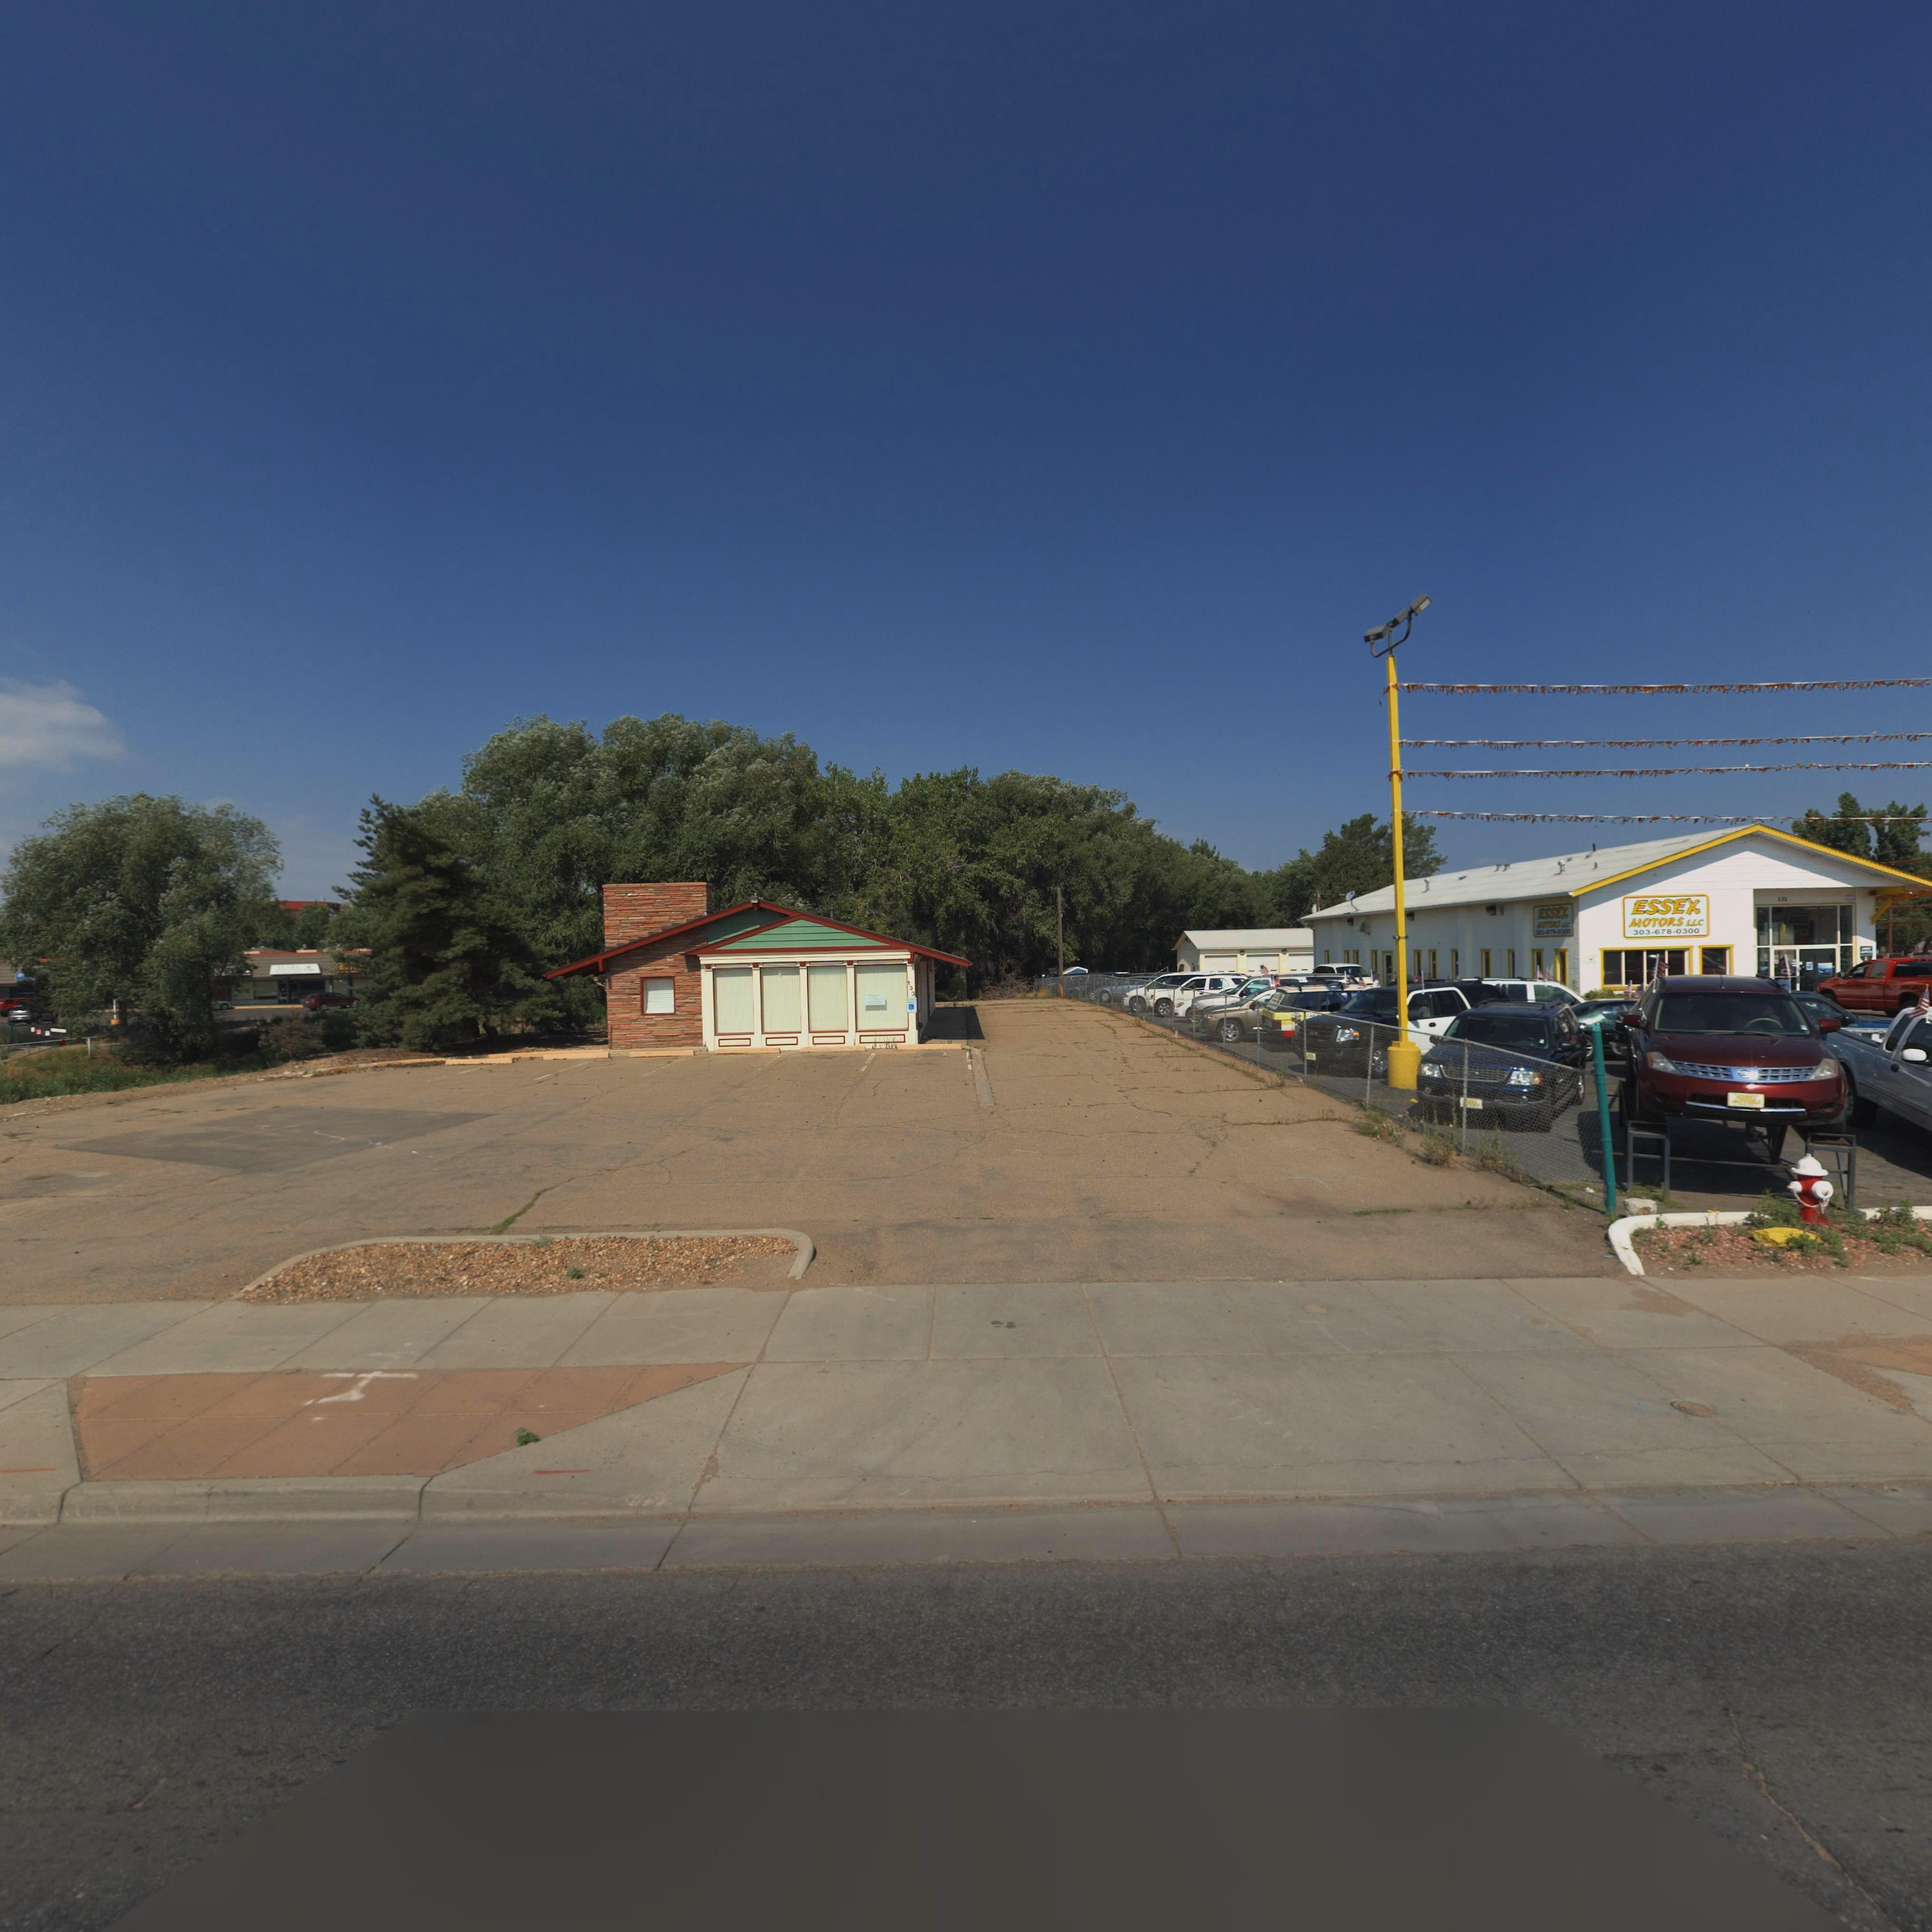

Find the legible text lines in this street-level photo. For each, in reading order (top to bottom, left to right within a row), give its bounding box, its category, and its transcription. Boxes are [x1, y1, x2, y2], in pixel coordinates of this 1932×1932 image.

[1777, 896, 1787, 902] StreetNumber: 131
[1536, 906, 1568, 919] BusinessName: ESSEX
[1631, 898, 1700, 915] BusinessName: ESSEX
[1536, 920, 1570, 929] BusinessName: *OTOR* LL*
[1627, 917, 1704, 928] BusinessName: MOTORS LLC
[907, 980, 915, 996] StreetNumber: 133